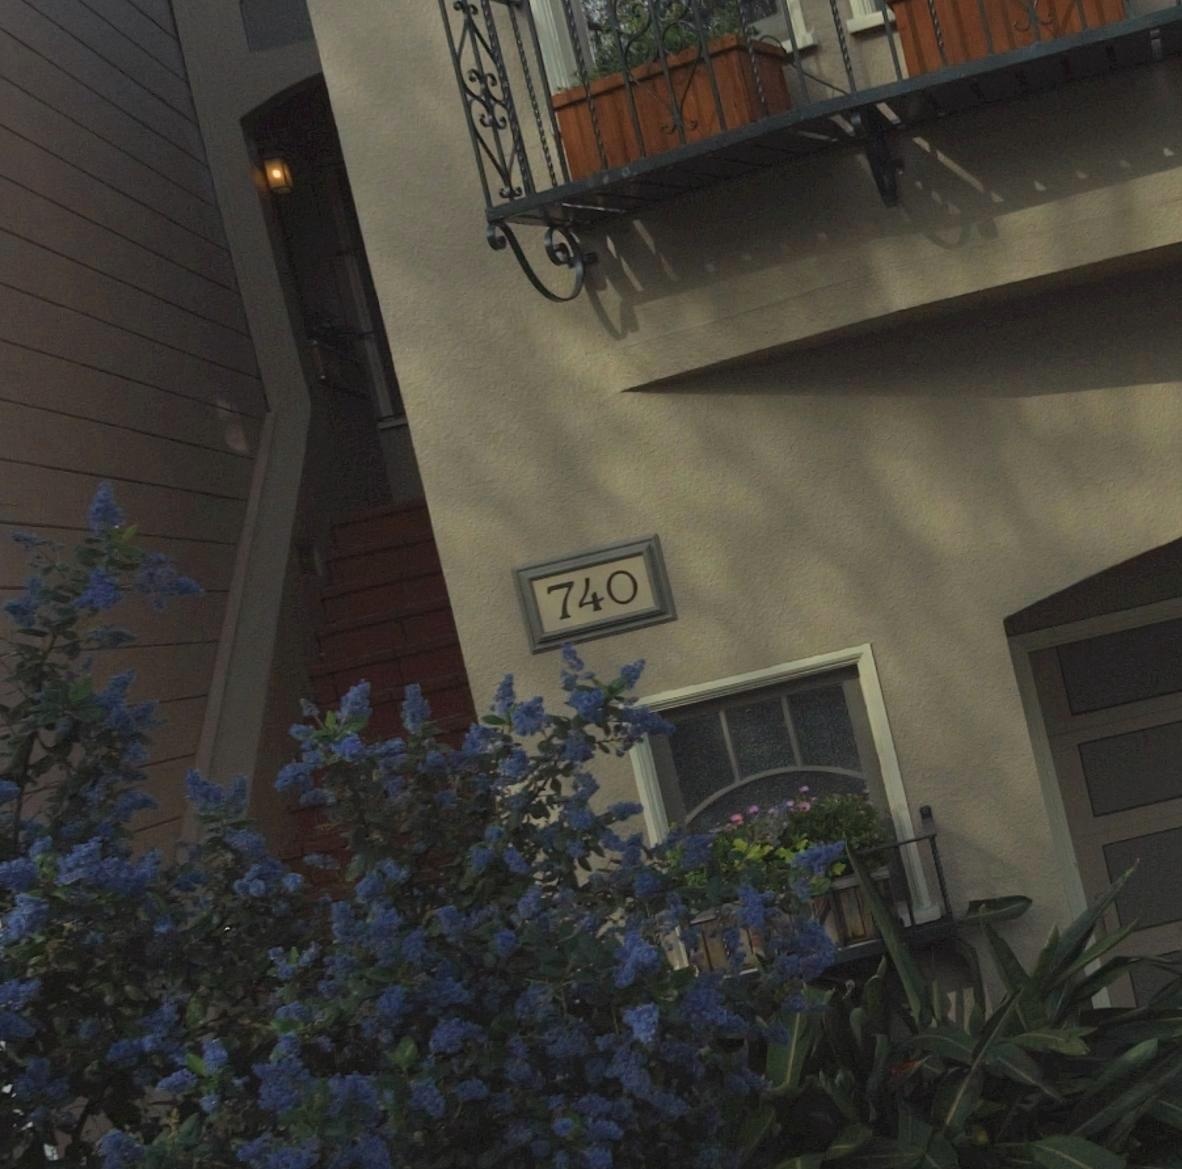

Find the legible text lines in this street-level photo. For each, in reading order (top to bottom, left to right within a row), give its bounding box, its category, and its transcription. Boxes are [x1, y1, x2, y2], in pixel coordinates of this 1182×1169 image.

[544, 564, 645, 624] StreetNumber: 740